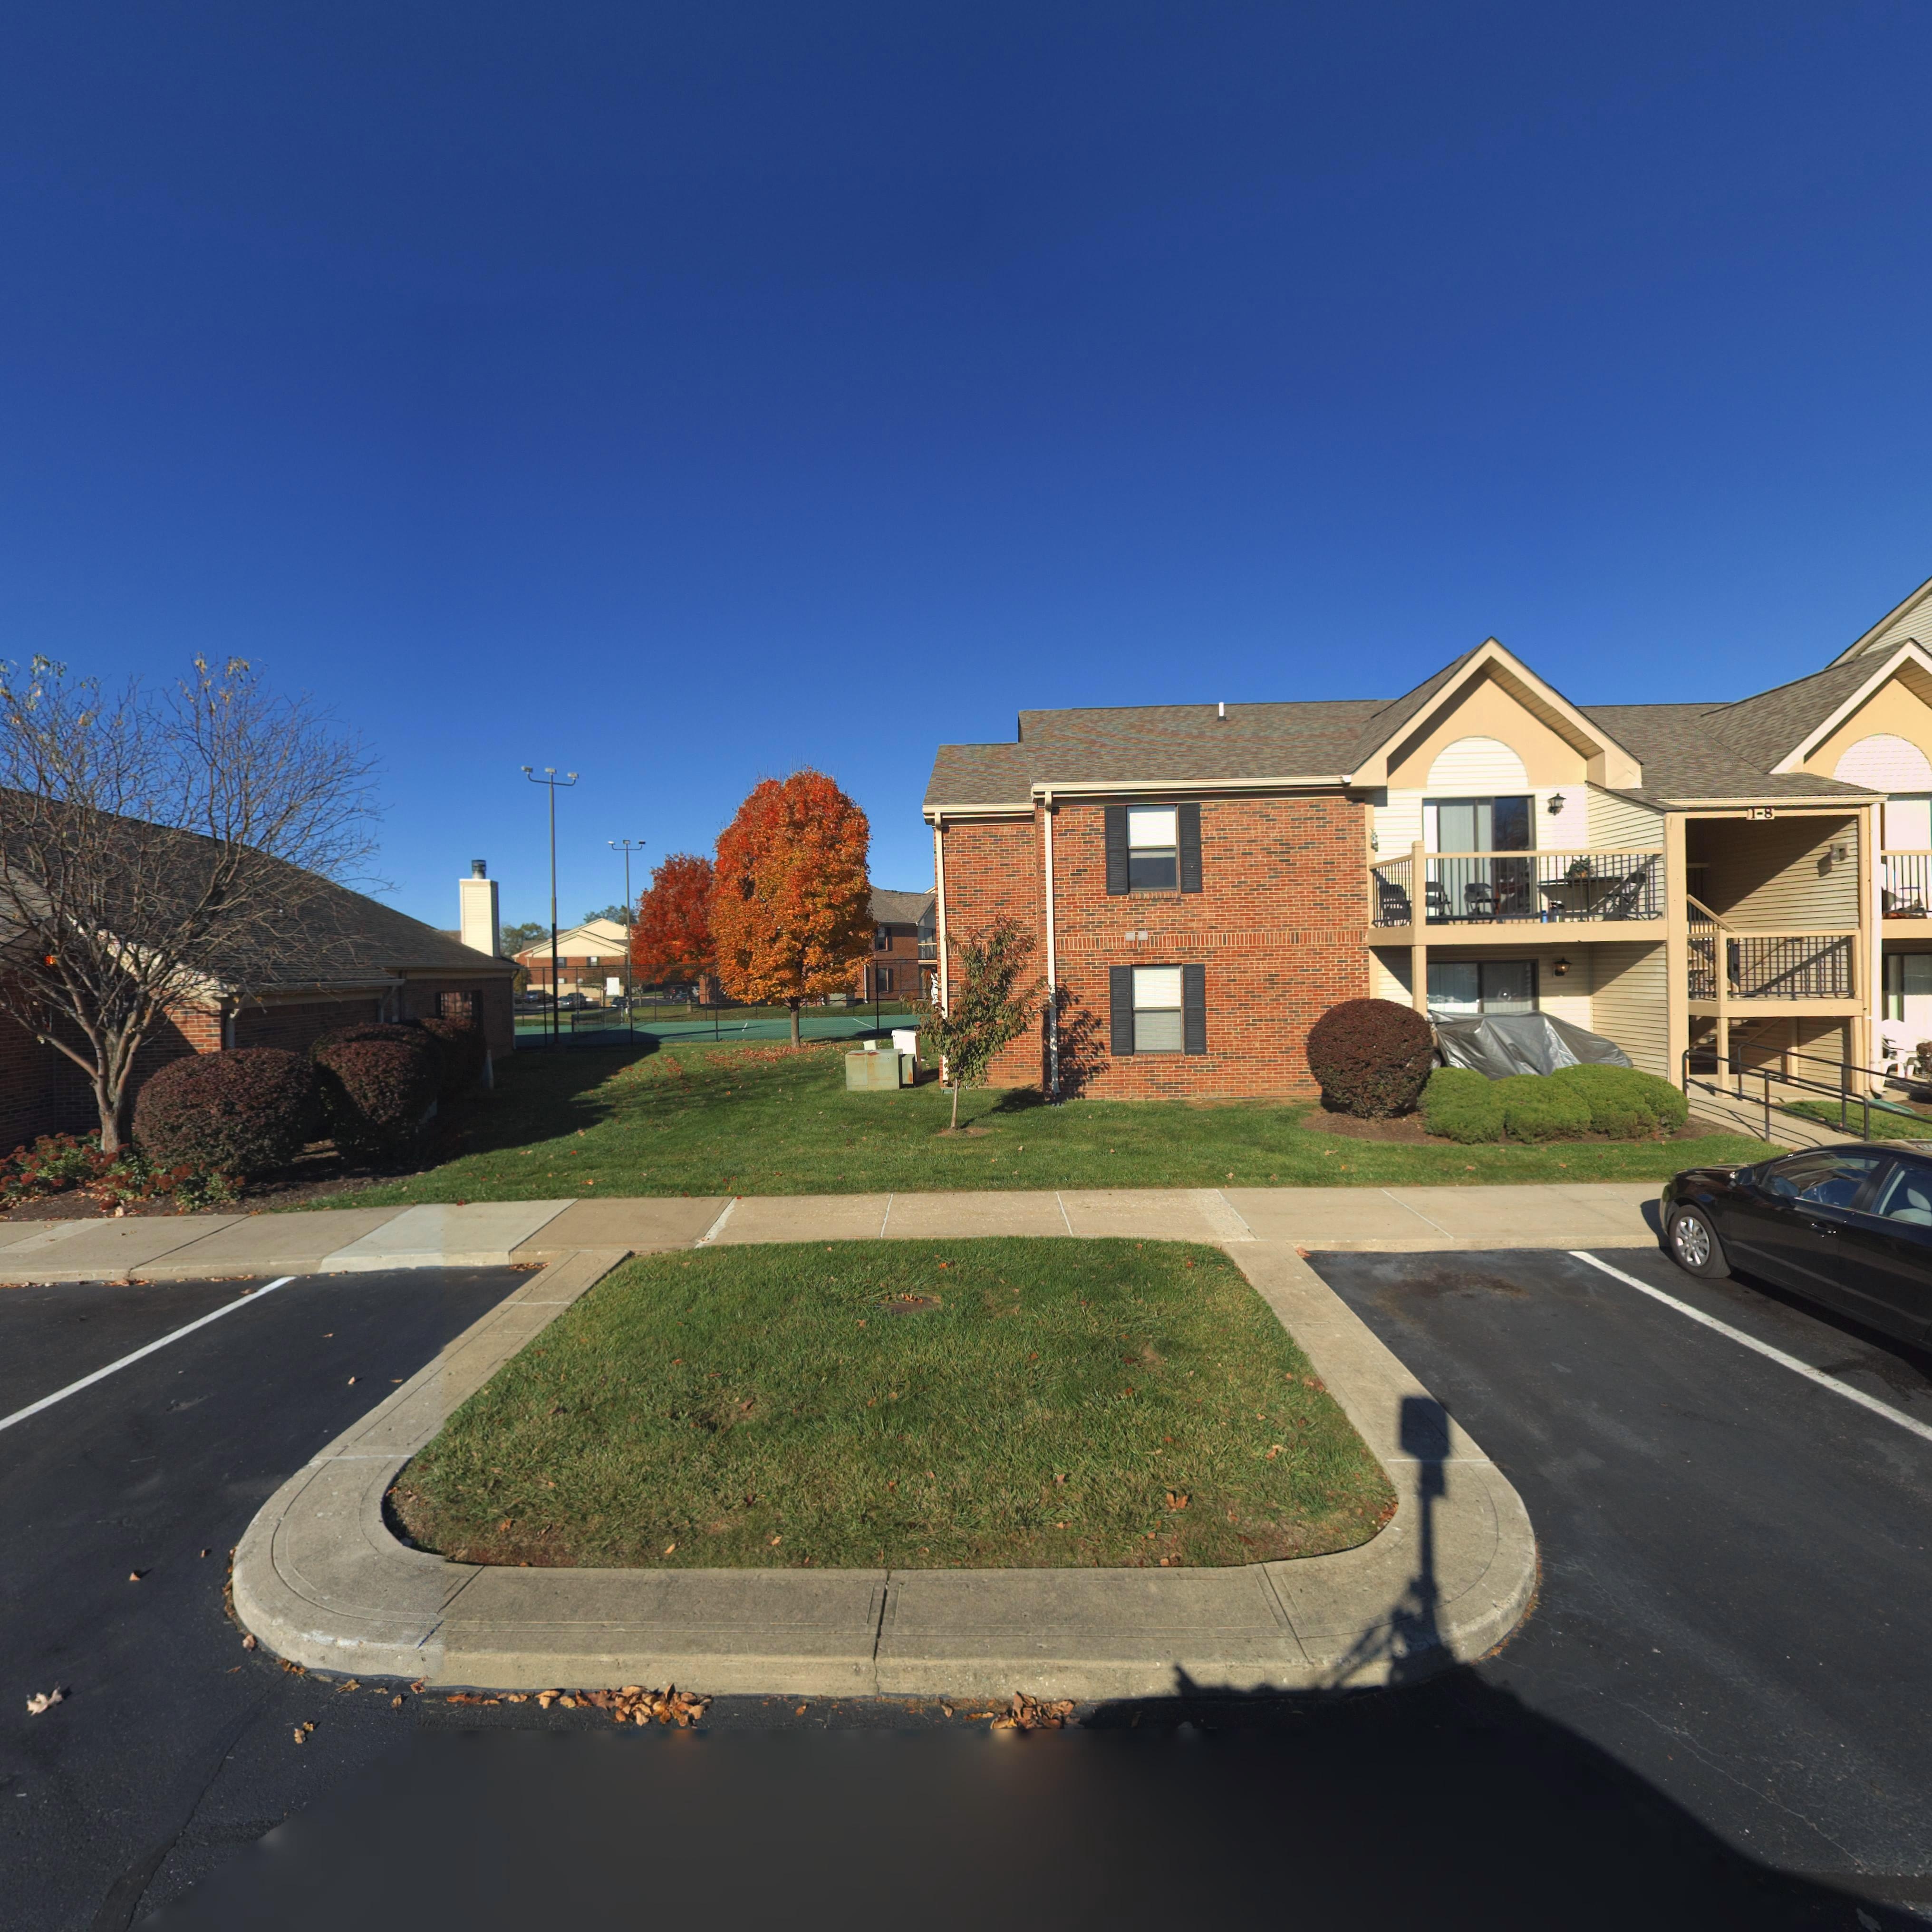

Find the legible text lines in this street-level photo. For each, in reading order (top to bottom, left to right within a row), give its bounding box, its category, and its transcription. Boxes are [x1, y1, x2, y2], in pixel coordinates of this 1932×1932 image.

[1750, 806, 1774, 820] StreetNumber: 1-8